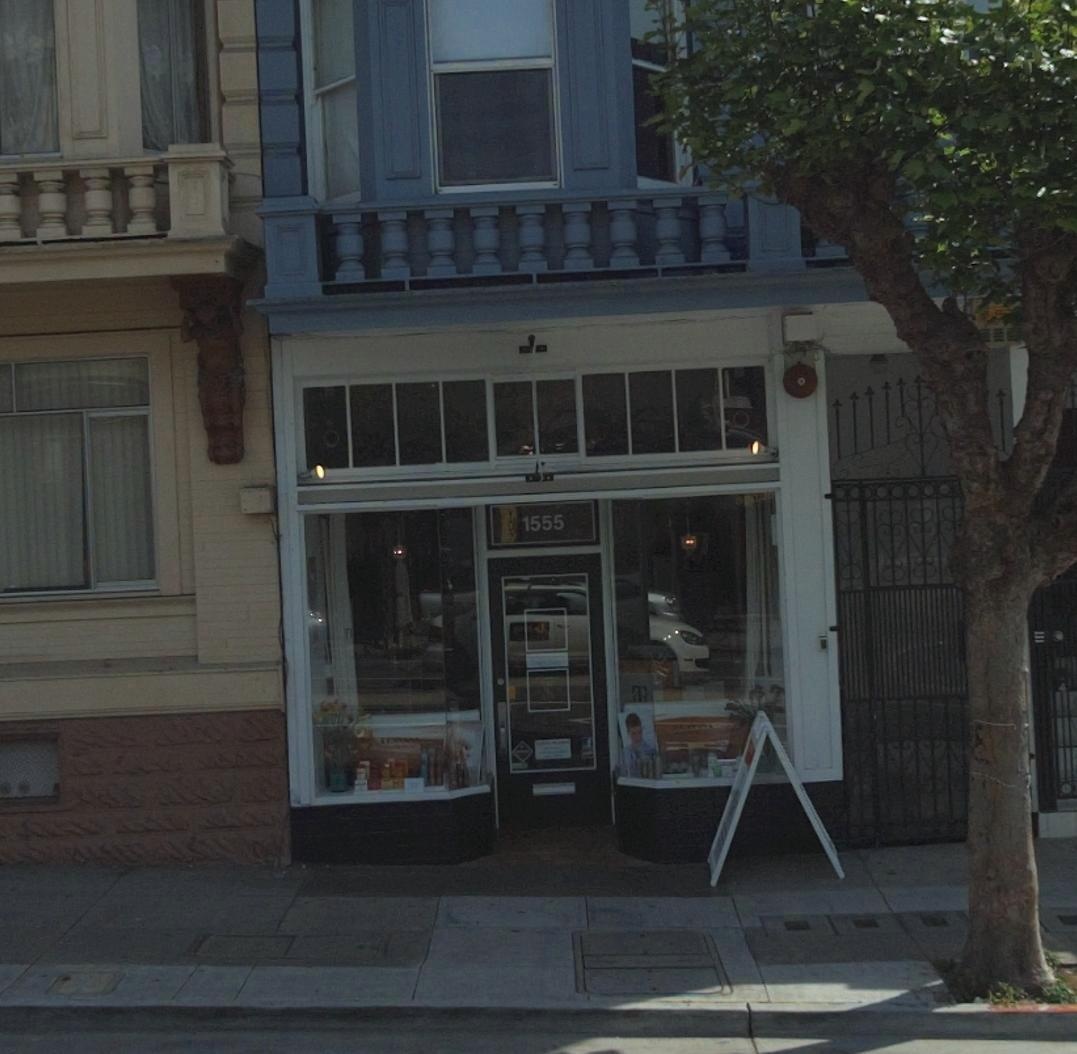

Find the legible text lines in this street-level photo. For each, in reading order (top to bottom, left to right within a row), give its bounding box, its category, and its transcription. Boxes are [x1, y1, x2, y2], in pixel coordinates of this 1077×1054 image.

[508, 511, 515, 541] None: 10*
[520, 514, 566, 532] StreetNumber: 1555